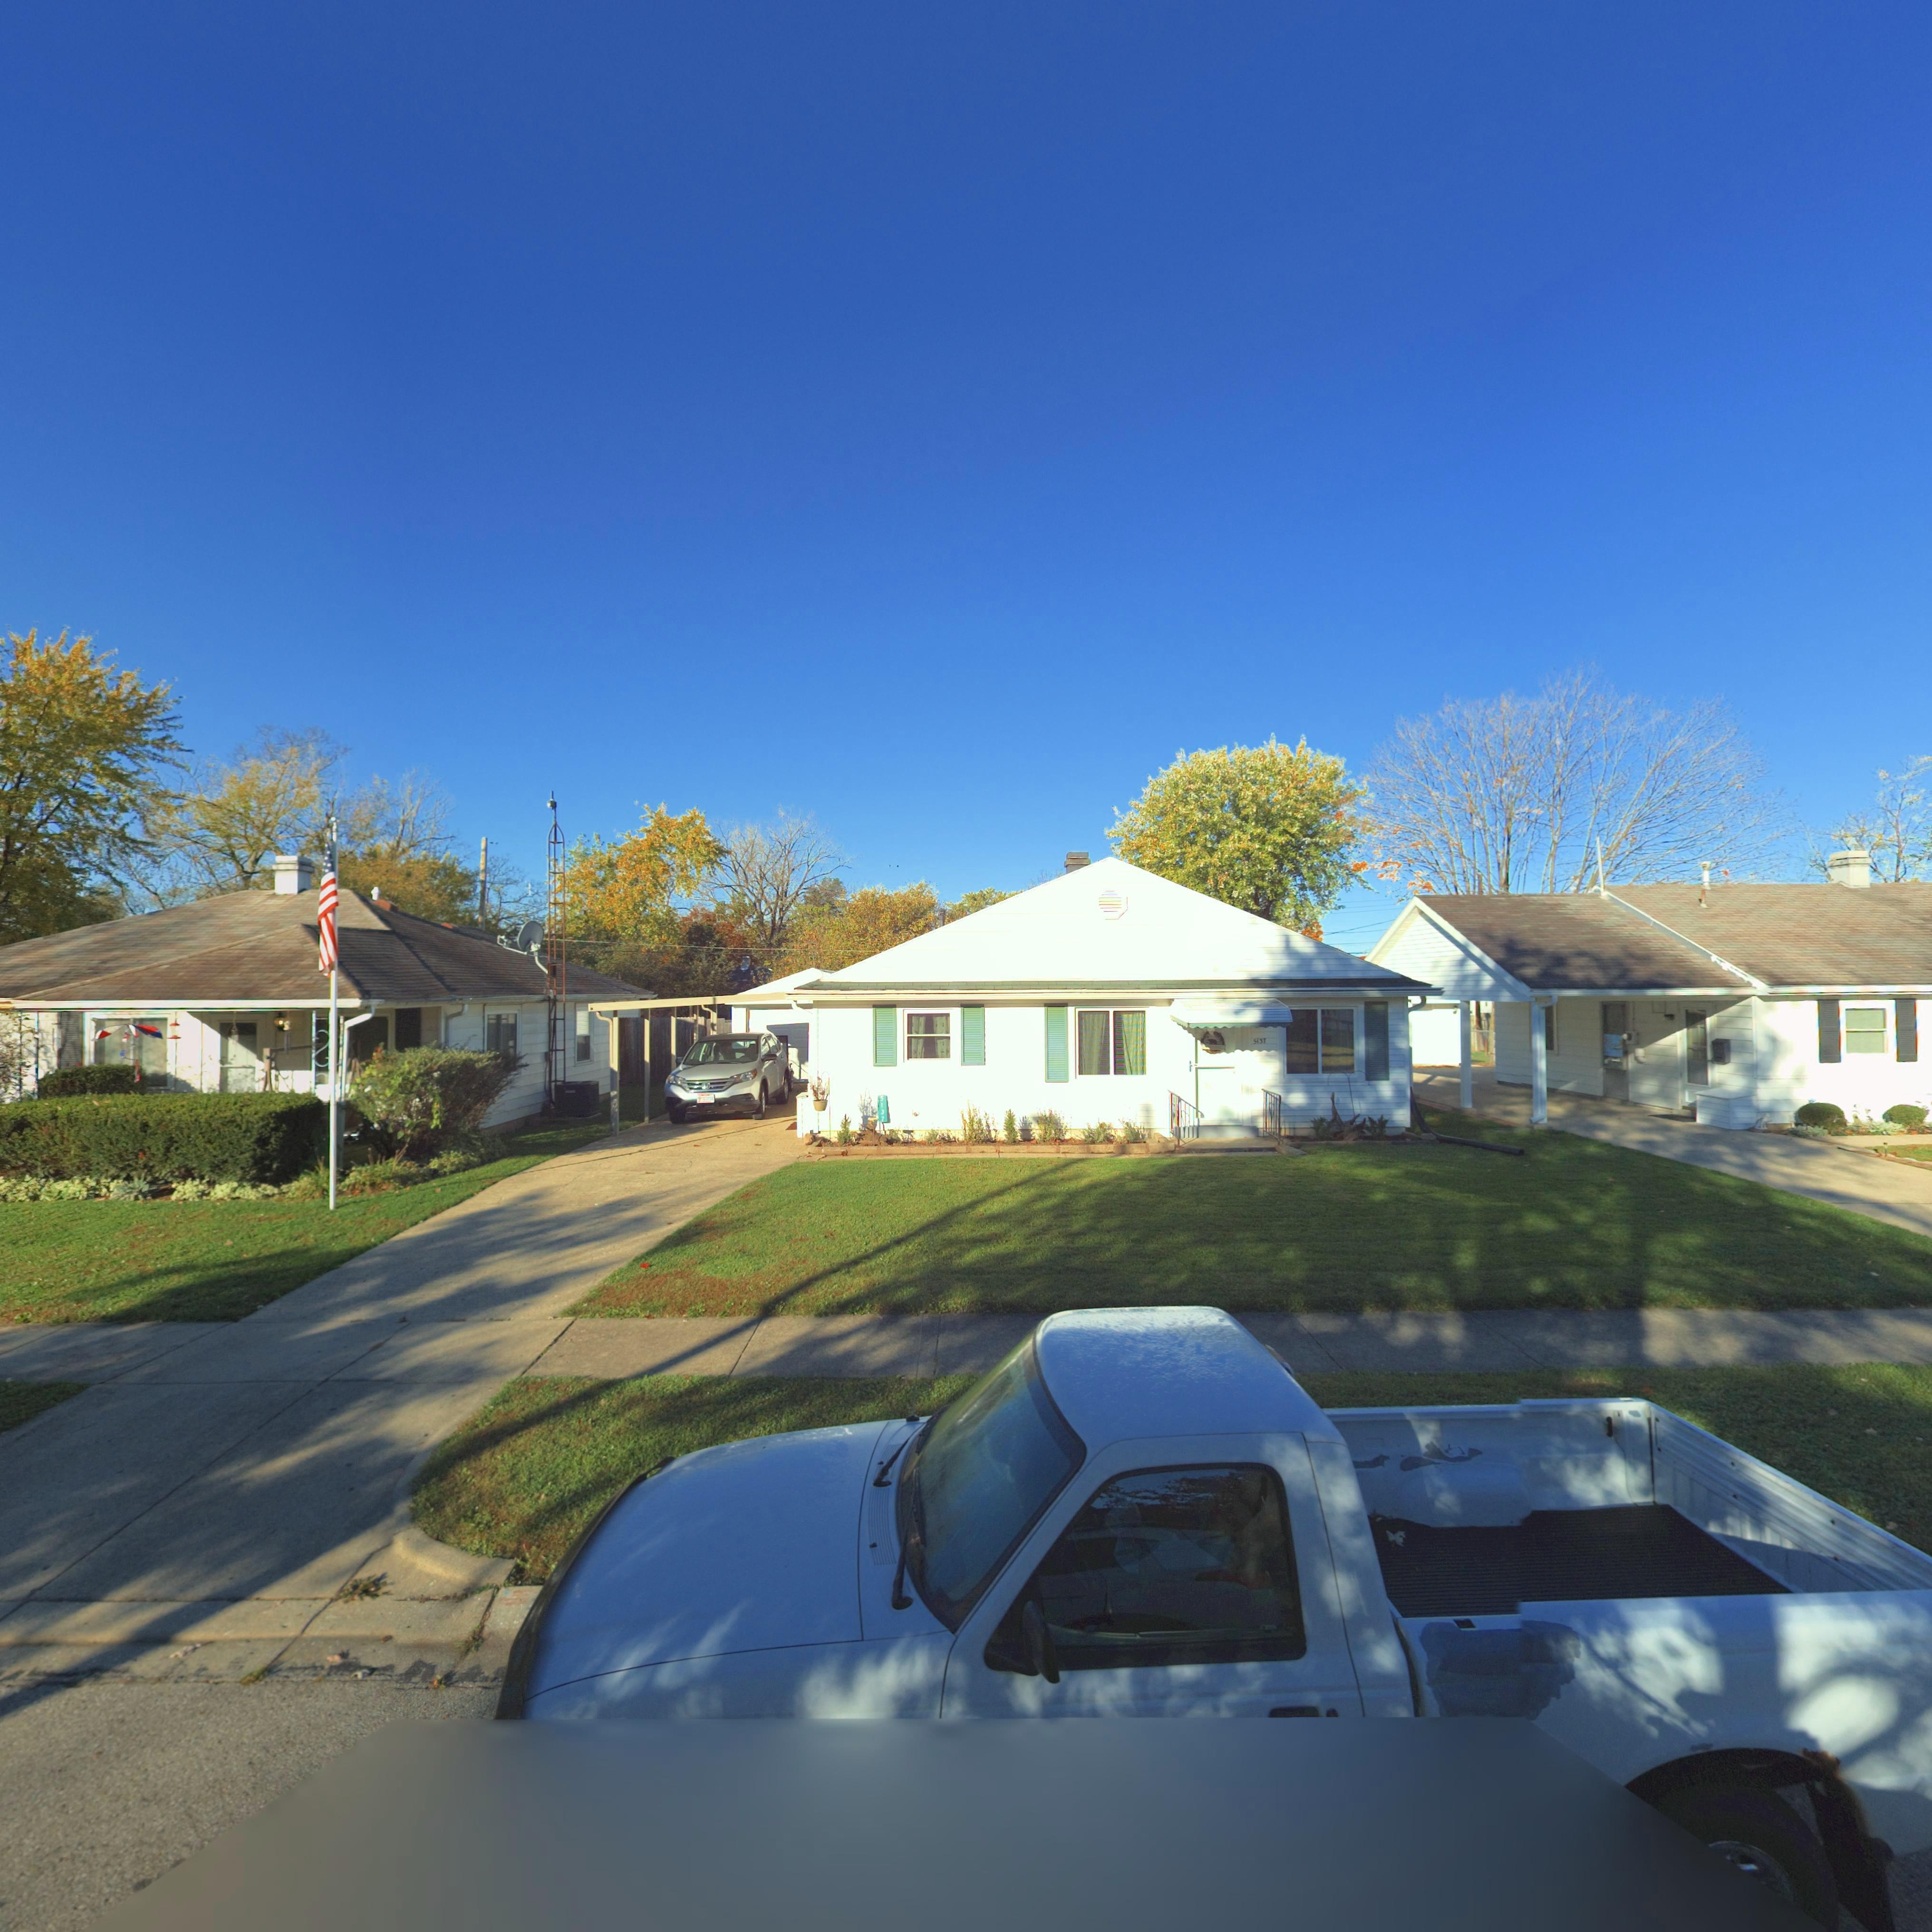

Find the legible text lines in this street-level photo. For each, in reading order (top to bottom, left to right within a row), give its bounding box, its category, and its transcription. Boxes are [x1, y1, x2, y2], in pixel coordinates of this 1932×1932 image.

[1253, 1037, 1267, 1045] StreetNumber: 5137
[879, 1095, 885, 1122] StreetNumber: 5137